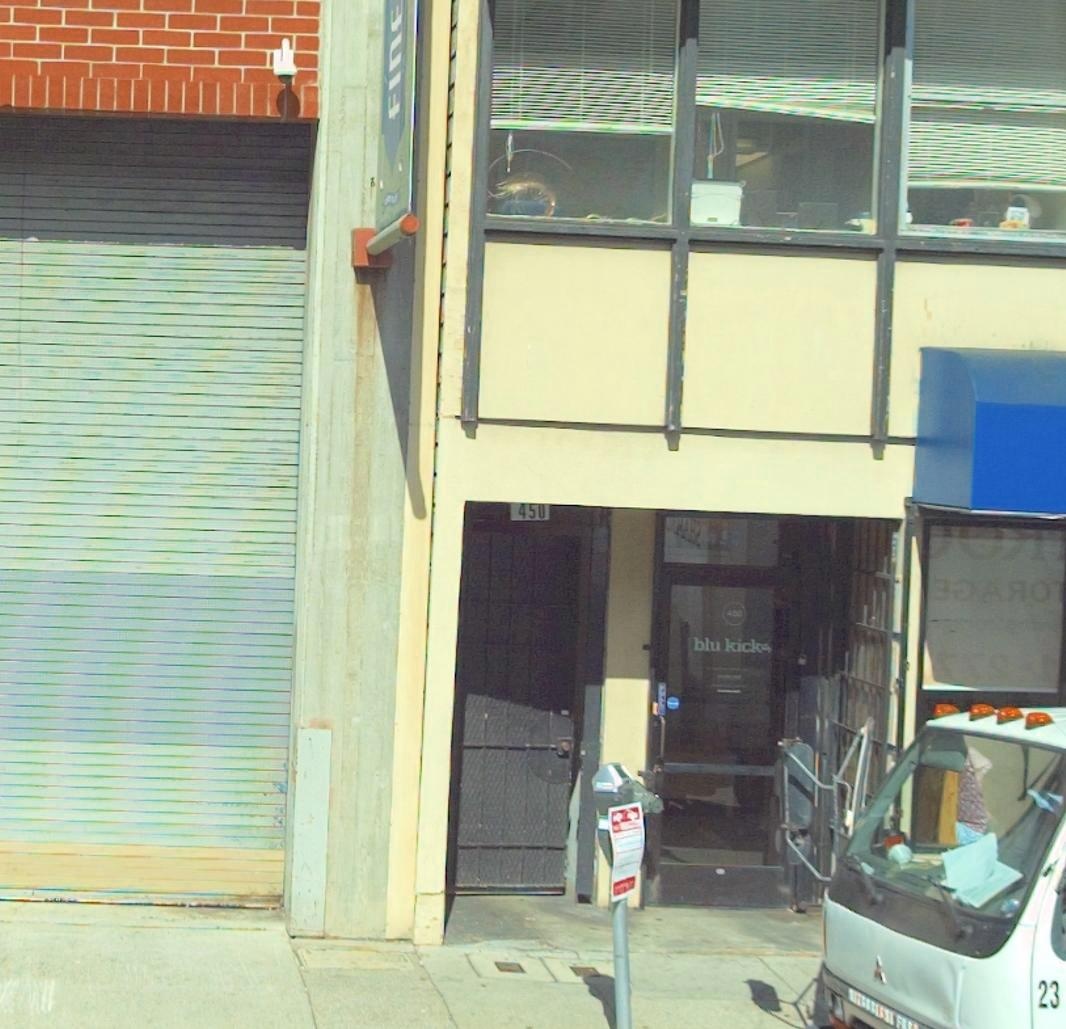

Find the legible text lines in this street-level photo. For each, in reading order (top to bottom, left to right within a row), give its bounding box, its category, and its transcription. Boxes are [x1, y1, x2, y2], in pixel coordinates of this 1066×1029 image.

[386, 0, 405, 123] None: fine
[517, 502, 546, 520] StreetNumber: 450
[691, 634, 774, 655] BusinessName: blu kicks
[1036, 978, 1061, 1010] None: 23